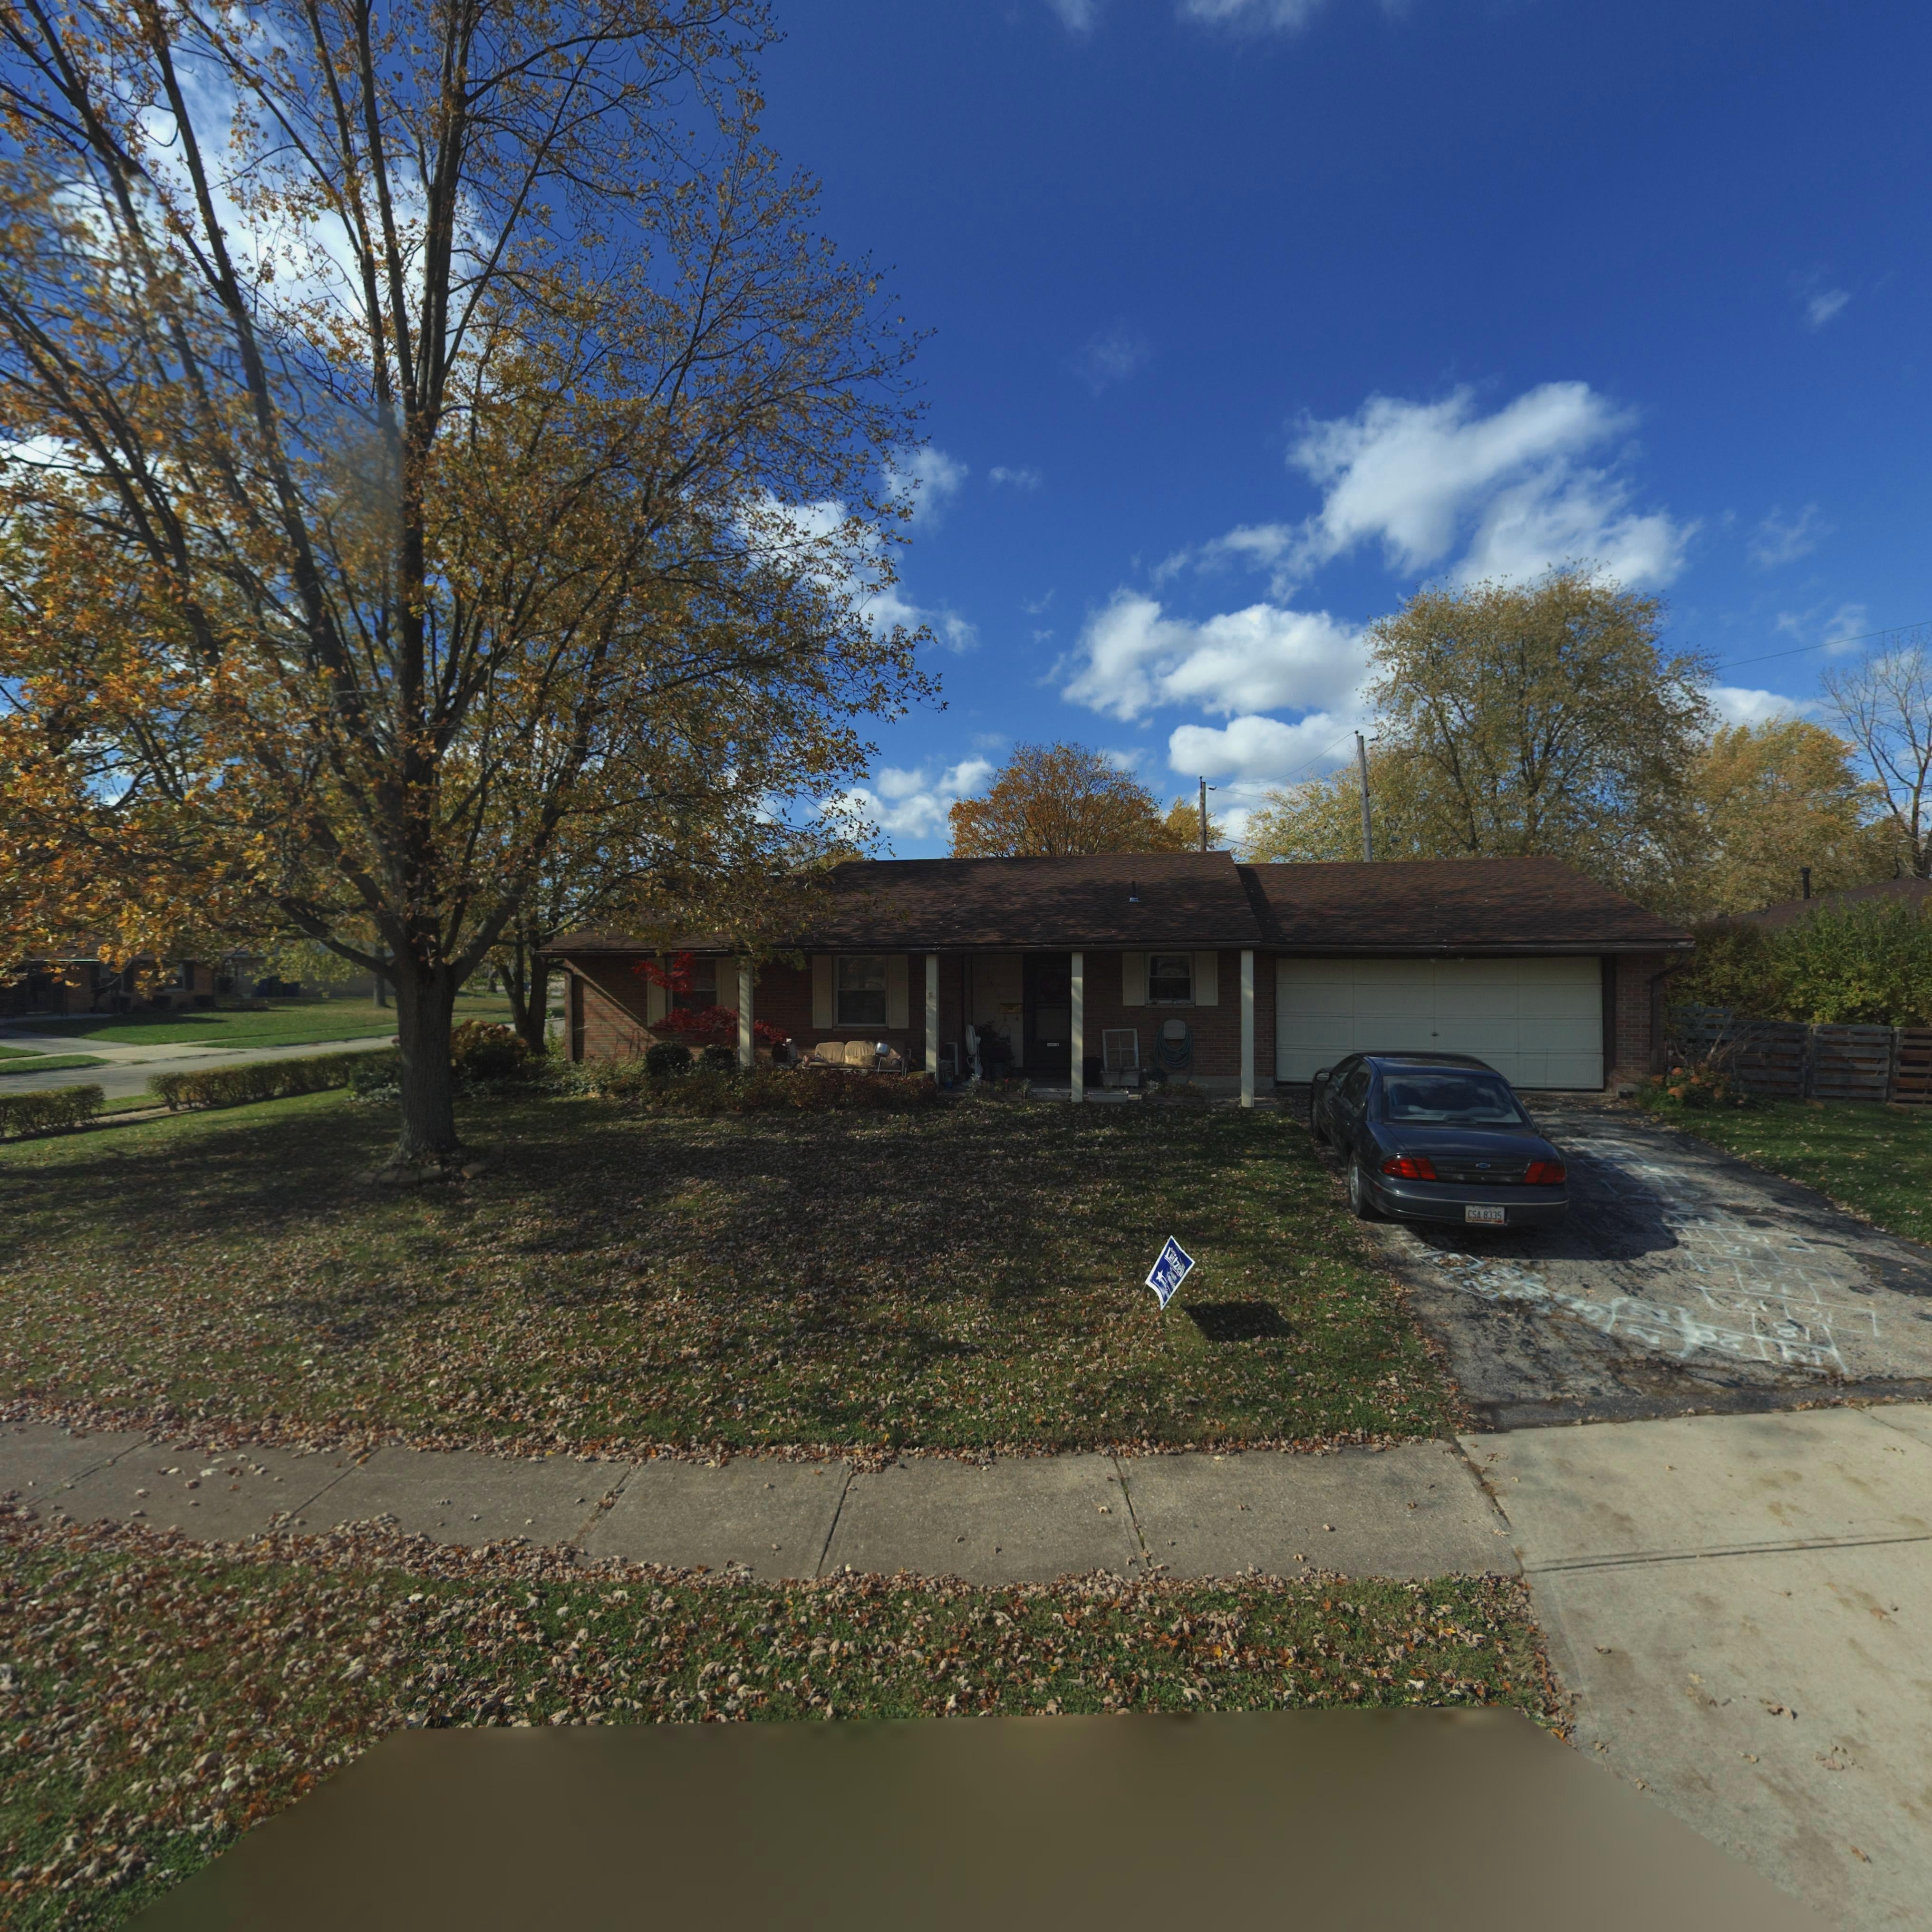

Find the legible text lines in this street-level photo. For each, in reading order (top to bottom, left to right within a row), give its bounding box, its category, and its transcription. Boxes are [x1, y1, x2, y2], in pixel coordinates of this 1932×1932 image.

[985, 976, 1001, 1001] StreetNumber: 7611